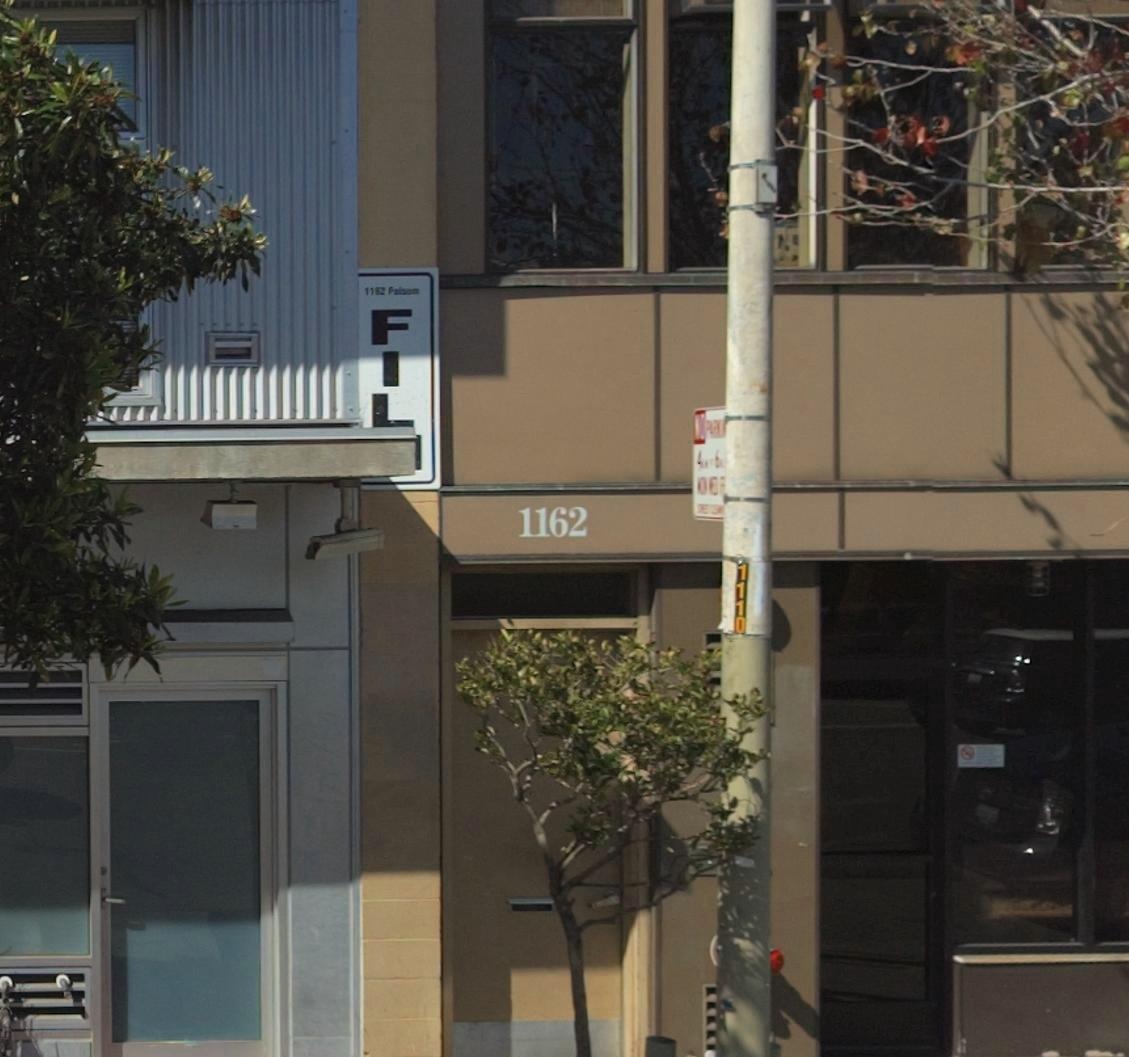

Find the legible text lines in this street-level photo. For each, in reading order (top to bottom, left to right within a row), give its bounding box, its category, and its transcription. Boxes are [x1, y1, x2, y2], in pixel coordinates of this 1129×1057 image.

[362, 285, 389, 298] StreetNumber: 1162
[386, 283, 423, 297] StreetName: Folsom
[368, 304, 418, 432] BusinessName: FIL
[698, 410, 716, 443] None: OP
[694, 447, 706, 471] None: 4
[712, 448, 723, 471] None: 6
[515, 503, 592, 542] StreetNumber: 1162
[733, 561, 750, 637] None: 1110